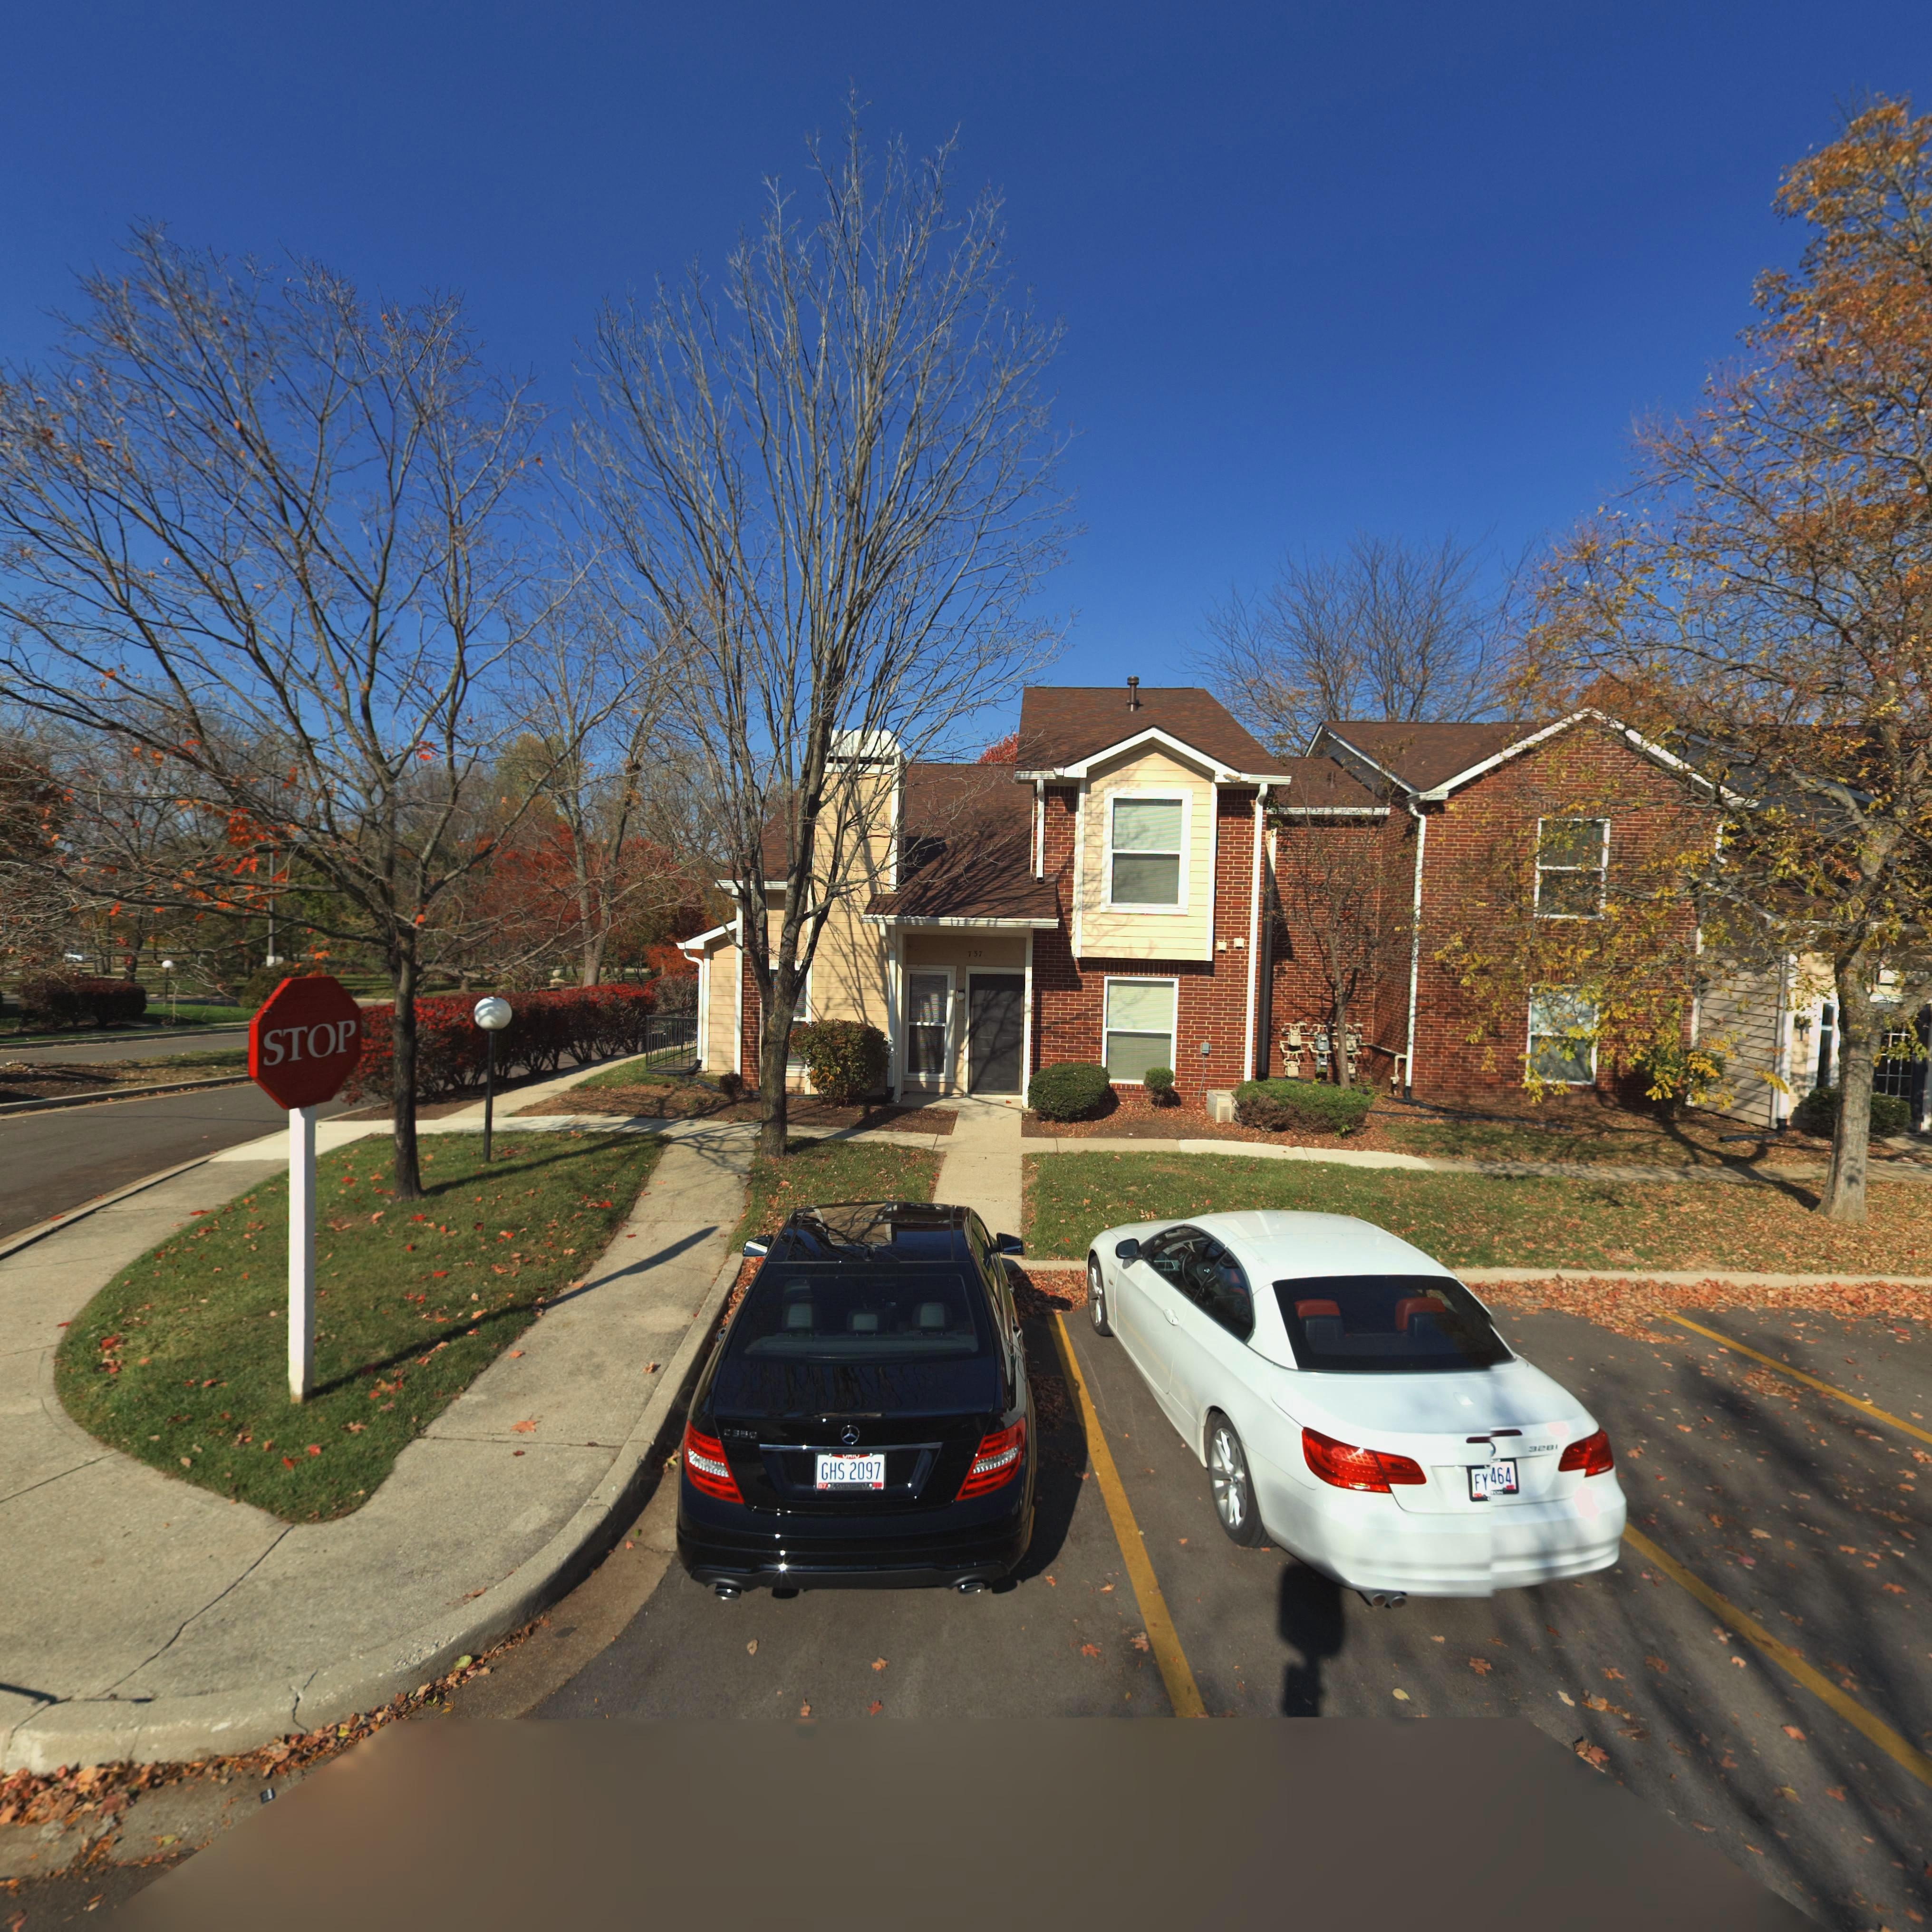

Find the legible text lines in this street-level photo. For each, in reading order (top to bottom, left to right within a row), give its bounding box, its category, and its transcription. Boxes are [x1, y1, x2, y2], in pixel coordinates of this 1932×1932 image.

[966, 949, 985, 958] StreetNumber: 737
[260, 1017, 358, 1070] None: STOP
[721, 1426, 759, 1442] None: C 350
[1527, 1442, 1560, 1454] None: 328I
[820, 1459, 883, 1482] None: GHS 2097
[1473, 1471, 1490, 1492] None: FY
[1489, 1464, 1514, 1487] None: 464